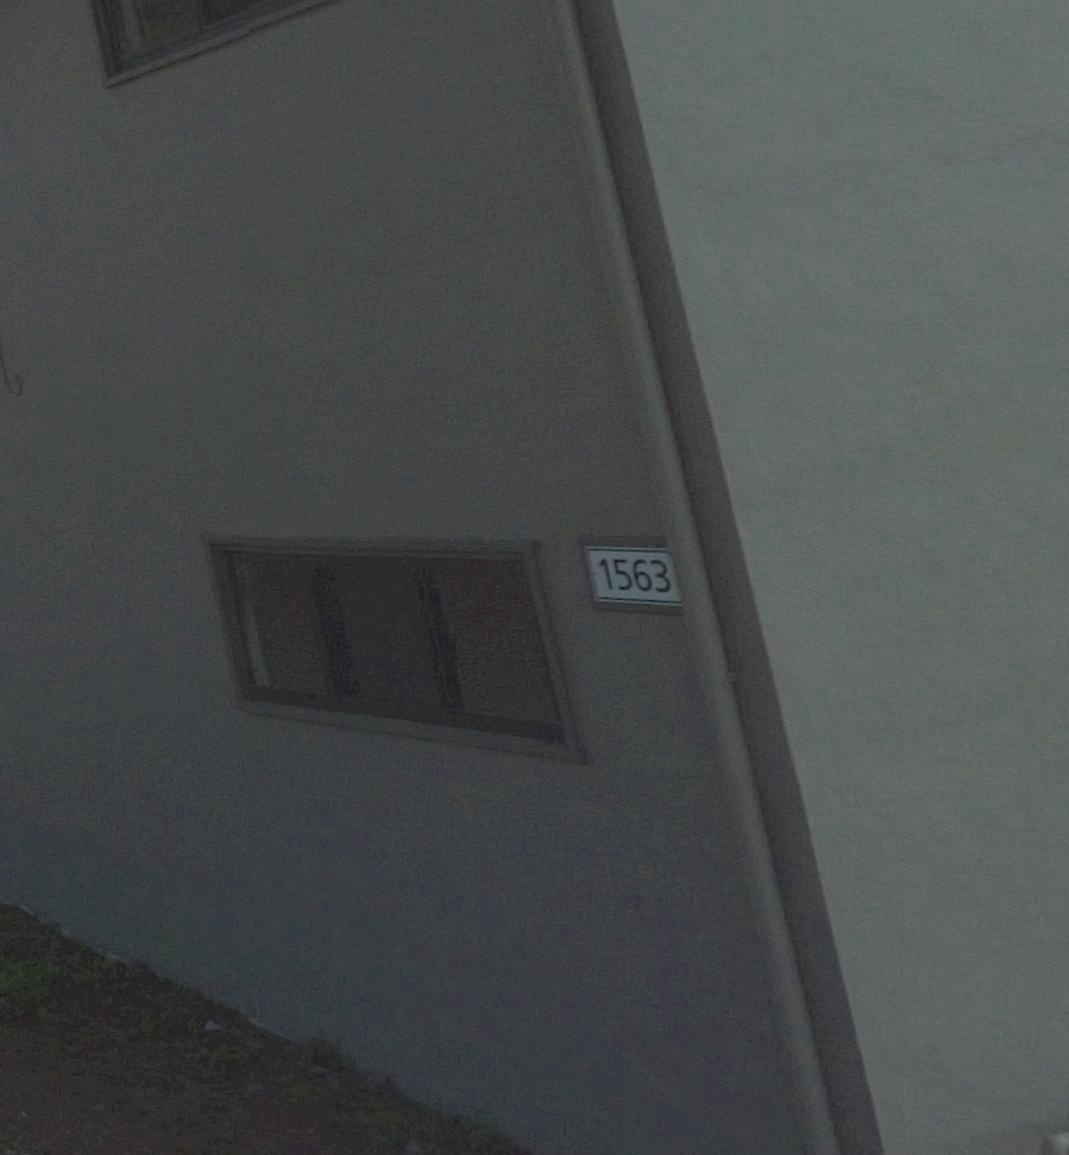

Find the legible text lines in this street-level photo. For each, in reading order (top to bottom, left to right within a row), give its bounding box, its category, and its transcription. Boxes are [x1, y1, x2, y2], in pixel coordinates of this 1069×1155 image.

[594, 556, 675, 594] StreetNumber: 1563